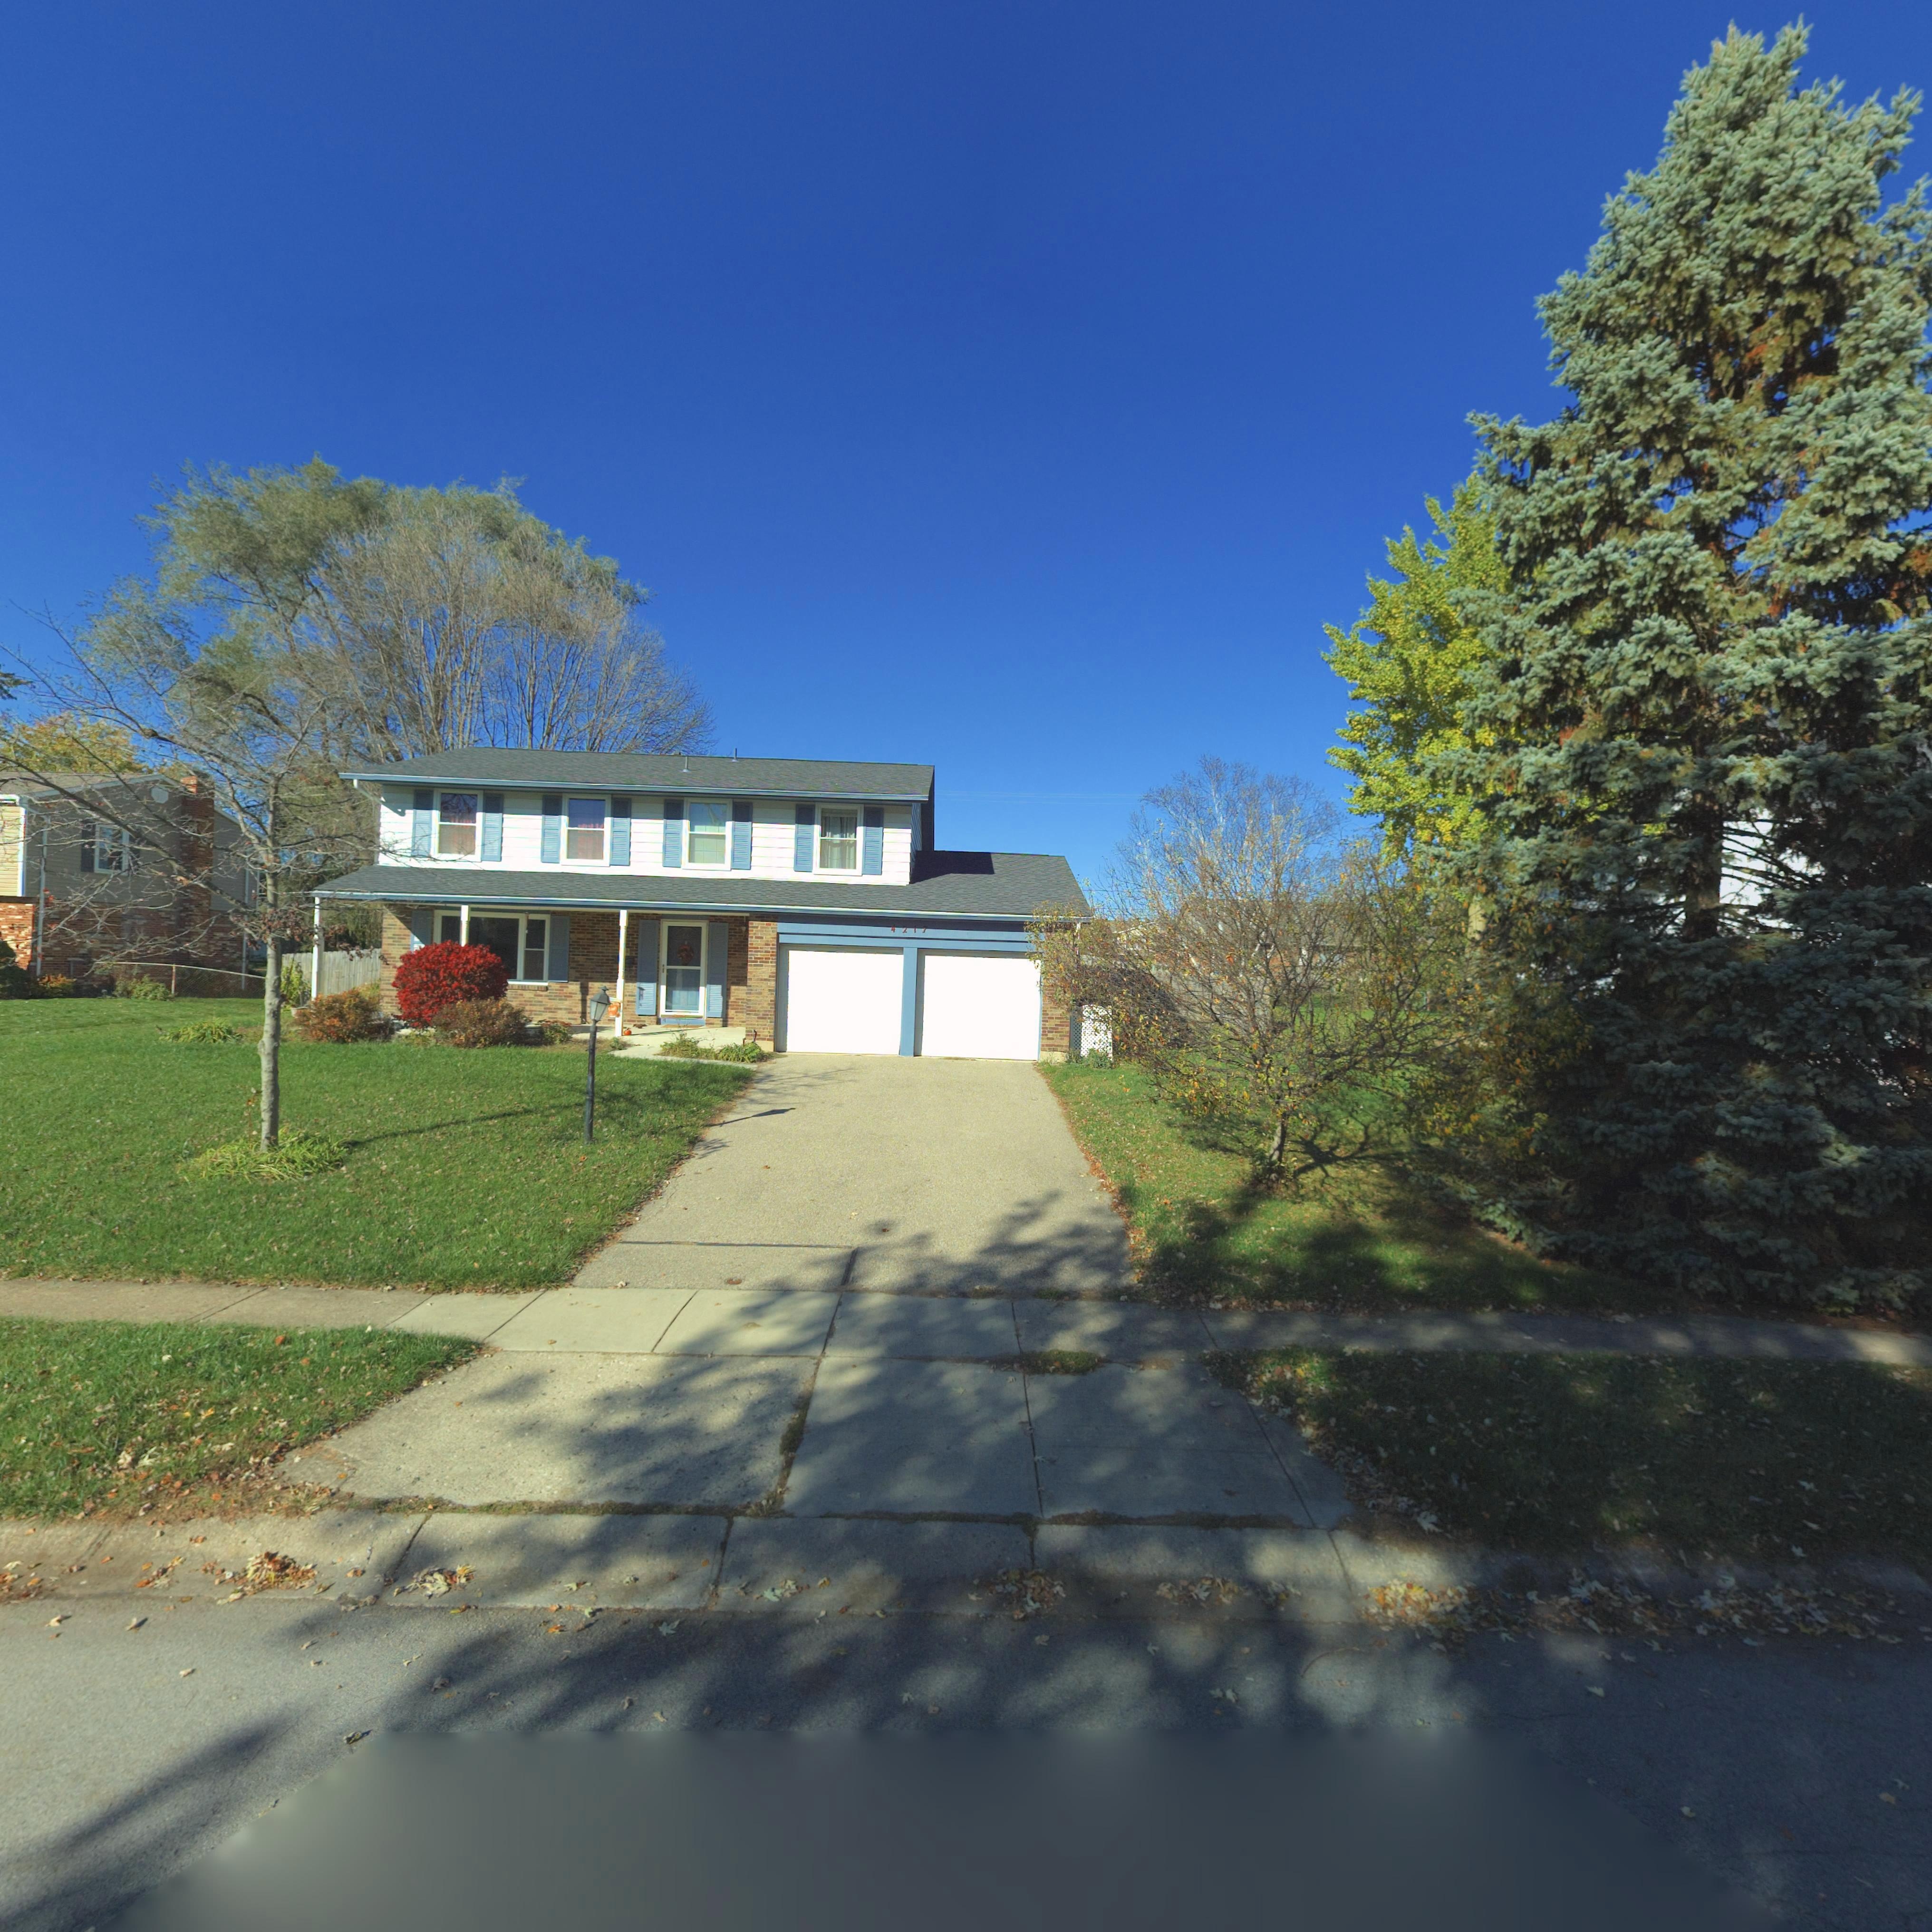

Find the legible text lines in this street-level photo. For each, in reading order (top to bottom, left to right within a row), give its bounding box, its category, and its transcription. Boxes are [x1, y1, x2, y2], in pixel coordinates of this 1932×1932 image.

[889, 924, 929, 934] StreetNumber: 4217